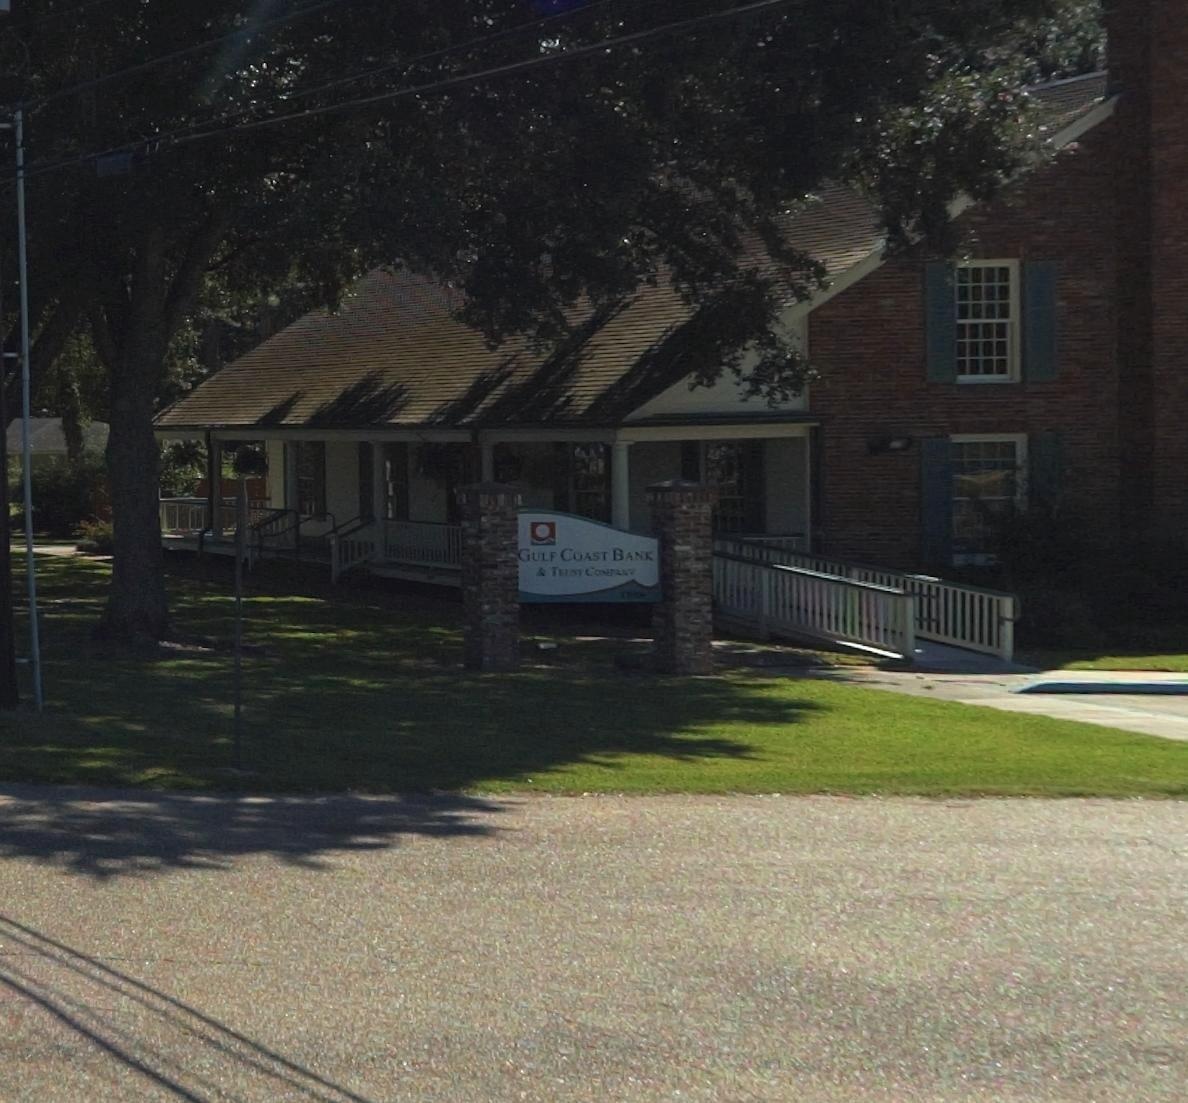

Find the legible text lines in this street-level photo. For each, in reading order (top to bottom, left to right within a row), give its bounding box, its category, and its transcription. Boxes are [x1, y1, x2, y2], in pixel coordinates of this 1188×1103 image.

[517, 546, 656, 564] BusinessName: GULF COAST BANK
[535, 564, 638, 579] BusinessName: & TRUST COMPANY
[617, 588, 656, 602] StreetNumber: 13*0*